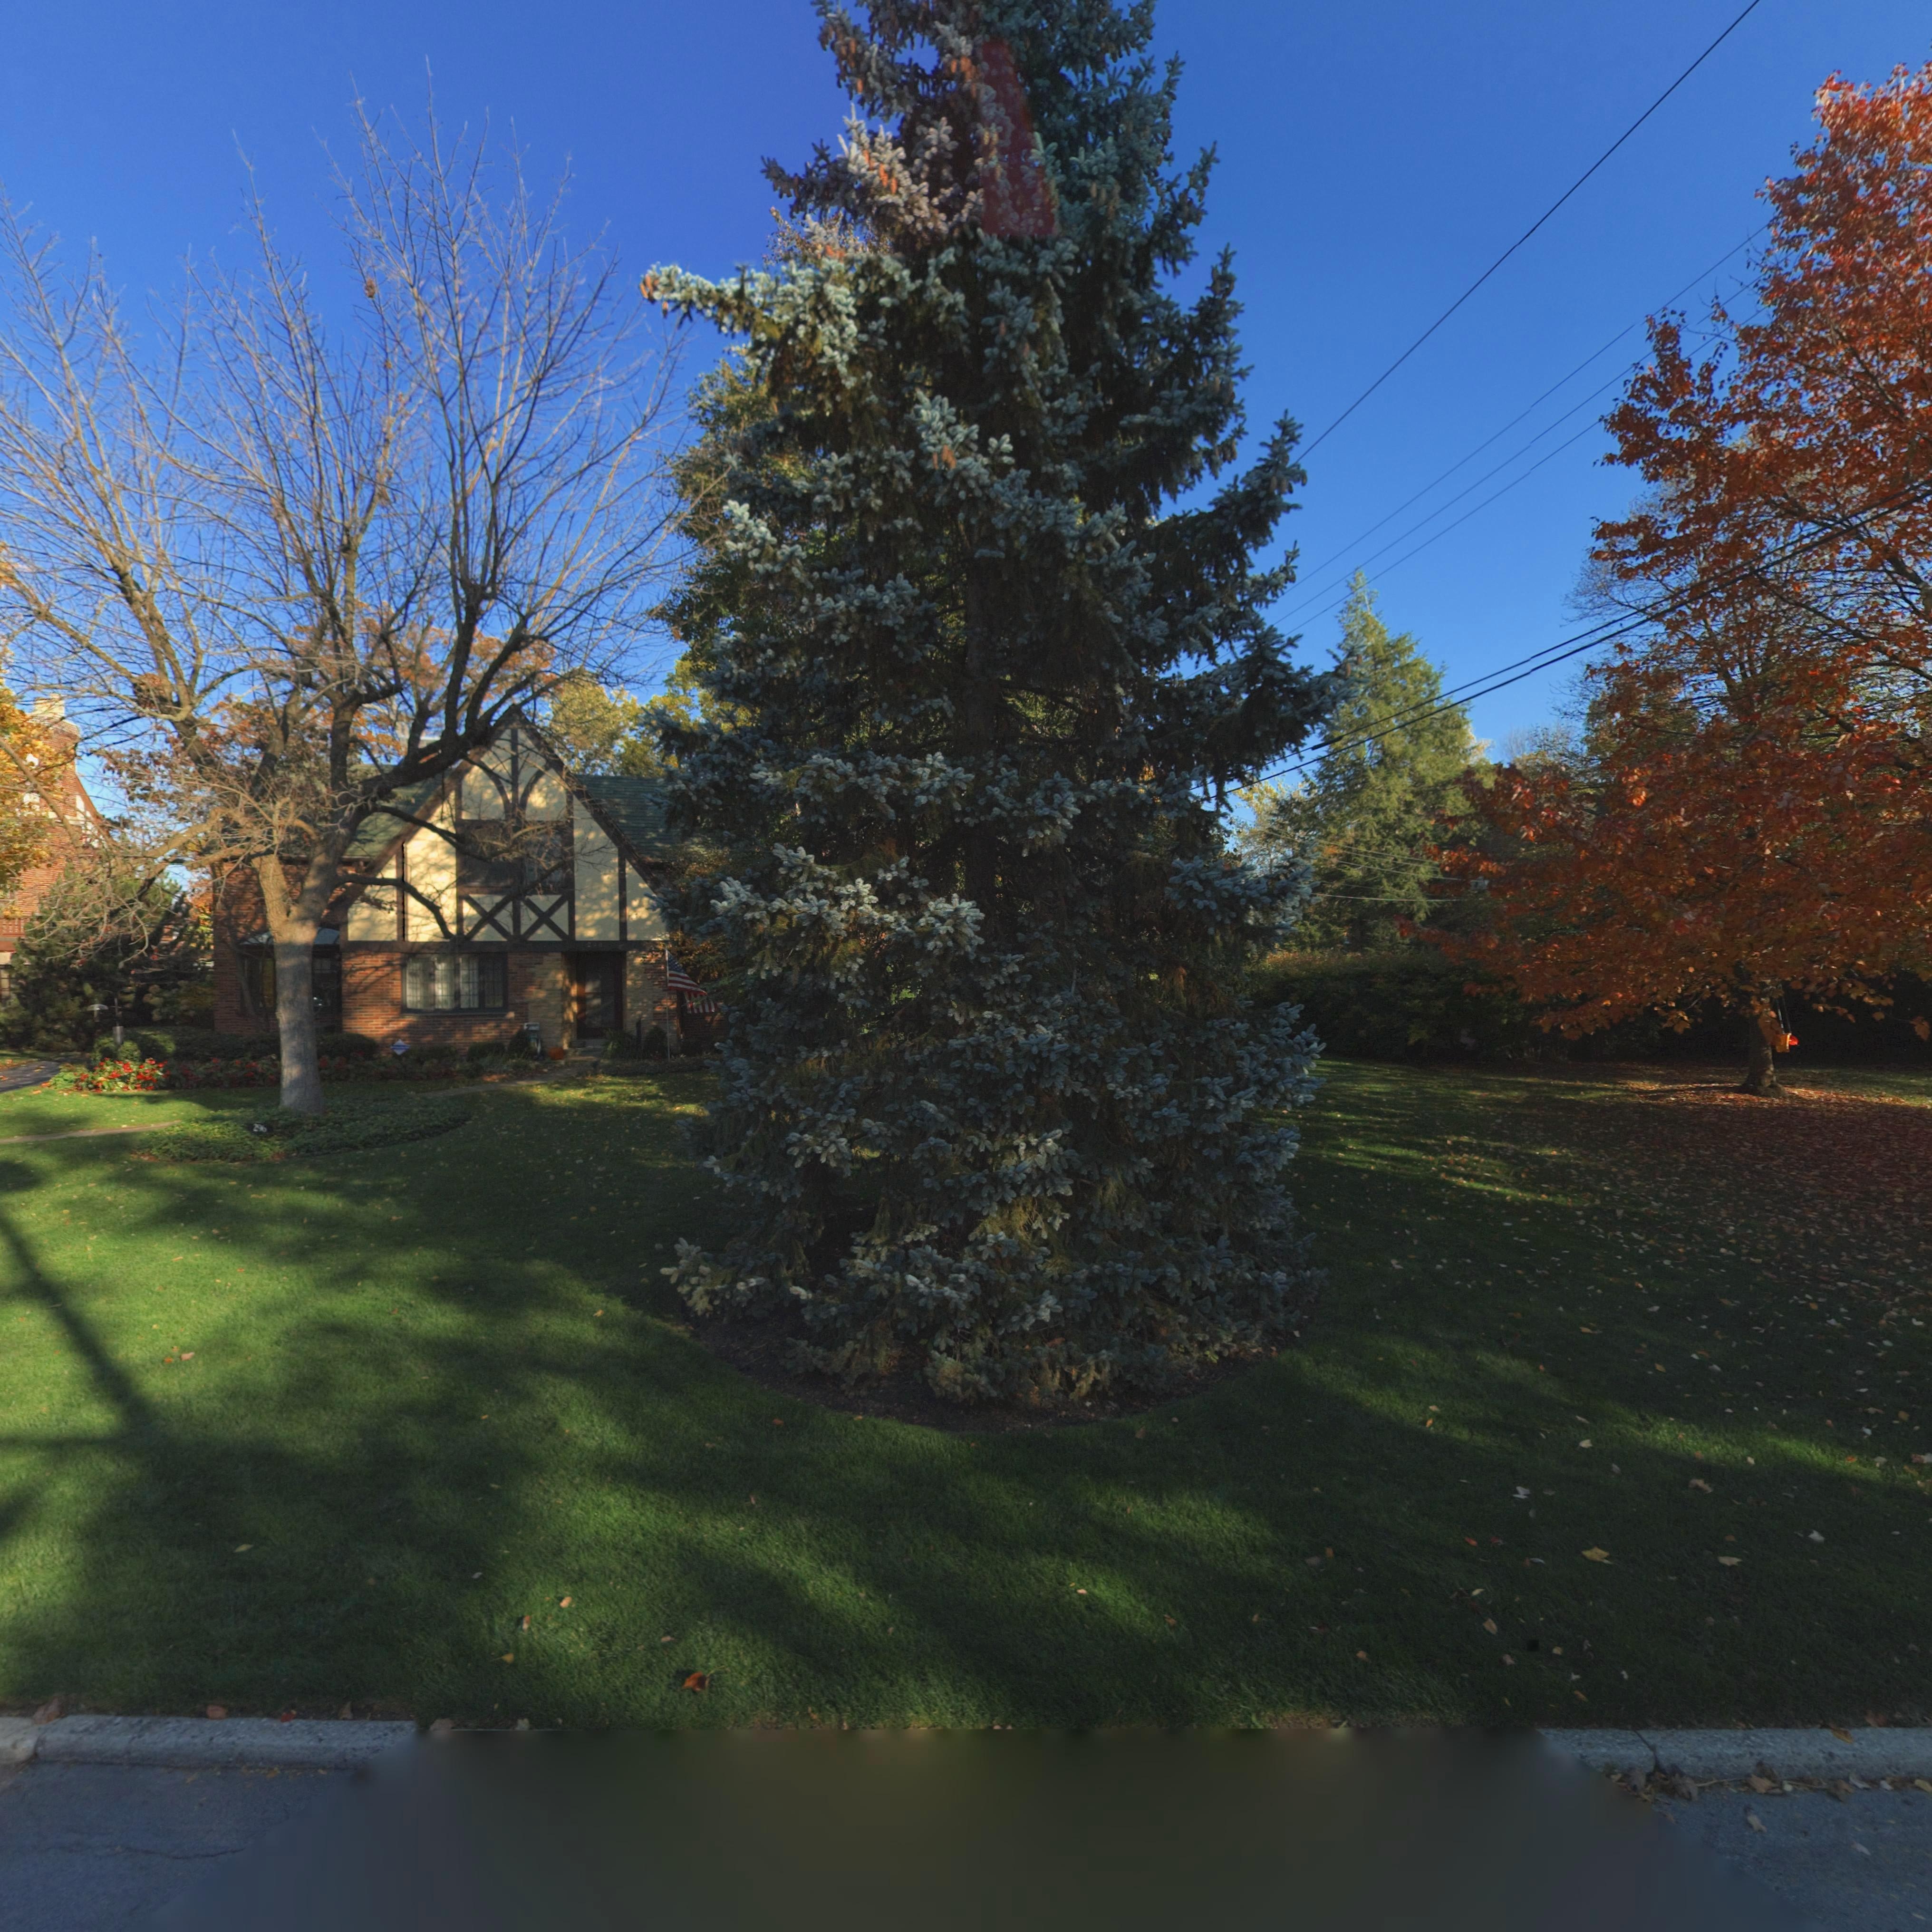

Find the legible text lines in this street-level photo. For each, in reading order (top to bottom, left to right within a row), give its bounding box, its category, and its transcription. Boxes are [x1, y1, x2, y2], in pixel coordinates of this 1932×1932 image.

[251, 1121, 270, 1134] StreetNumber: 296